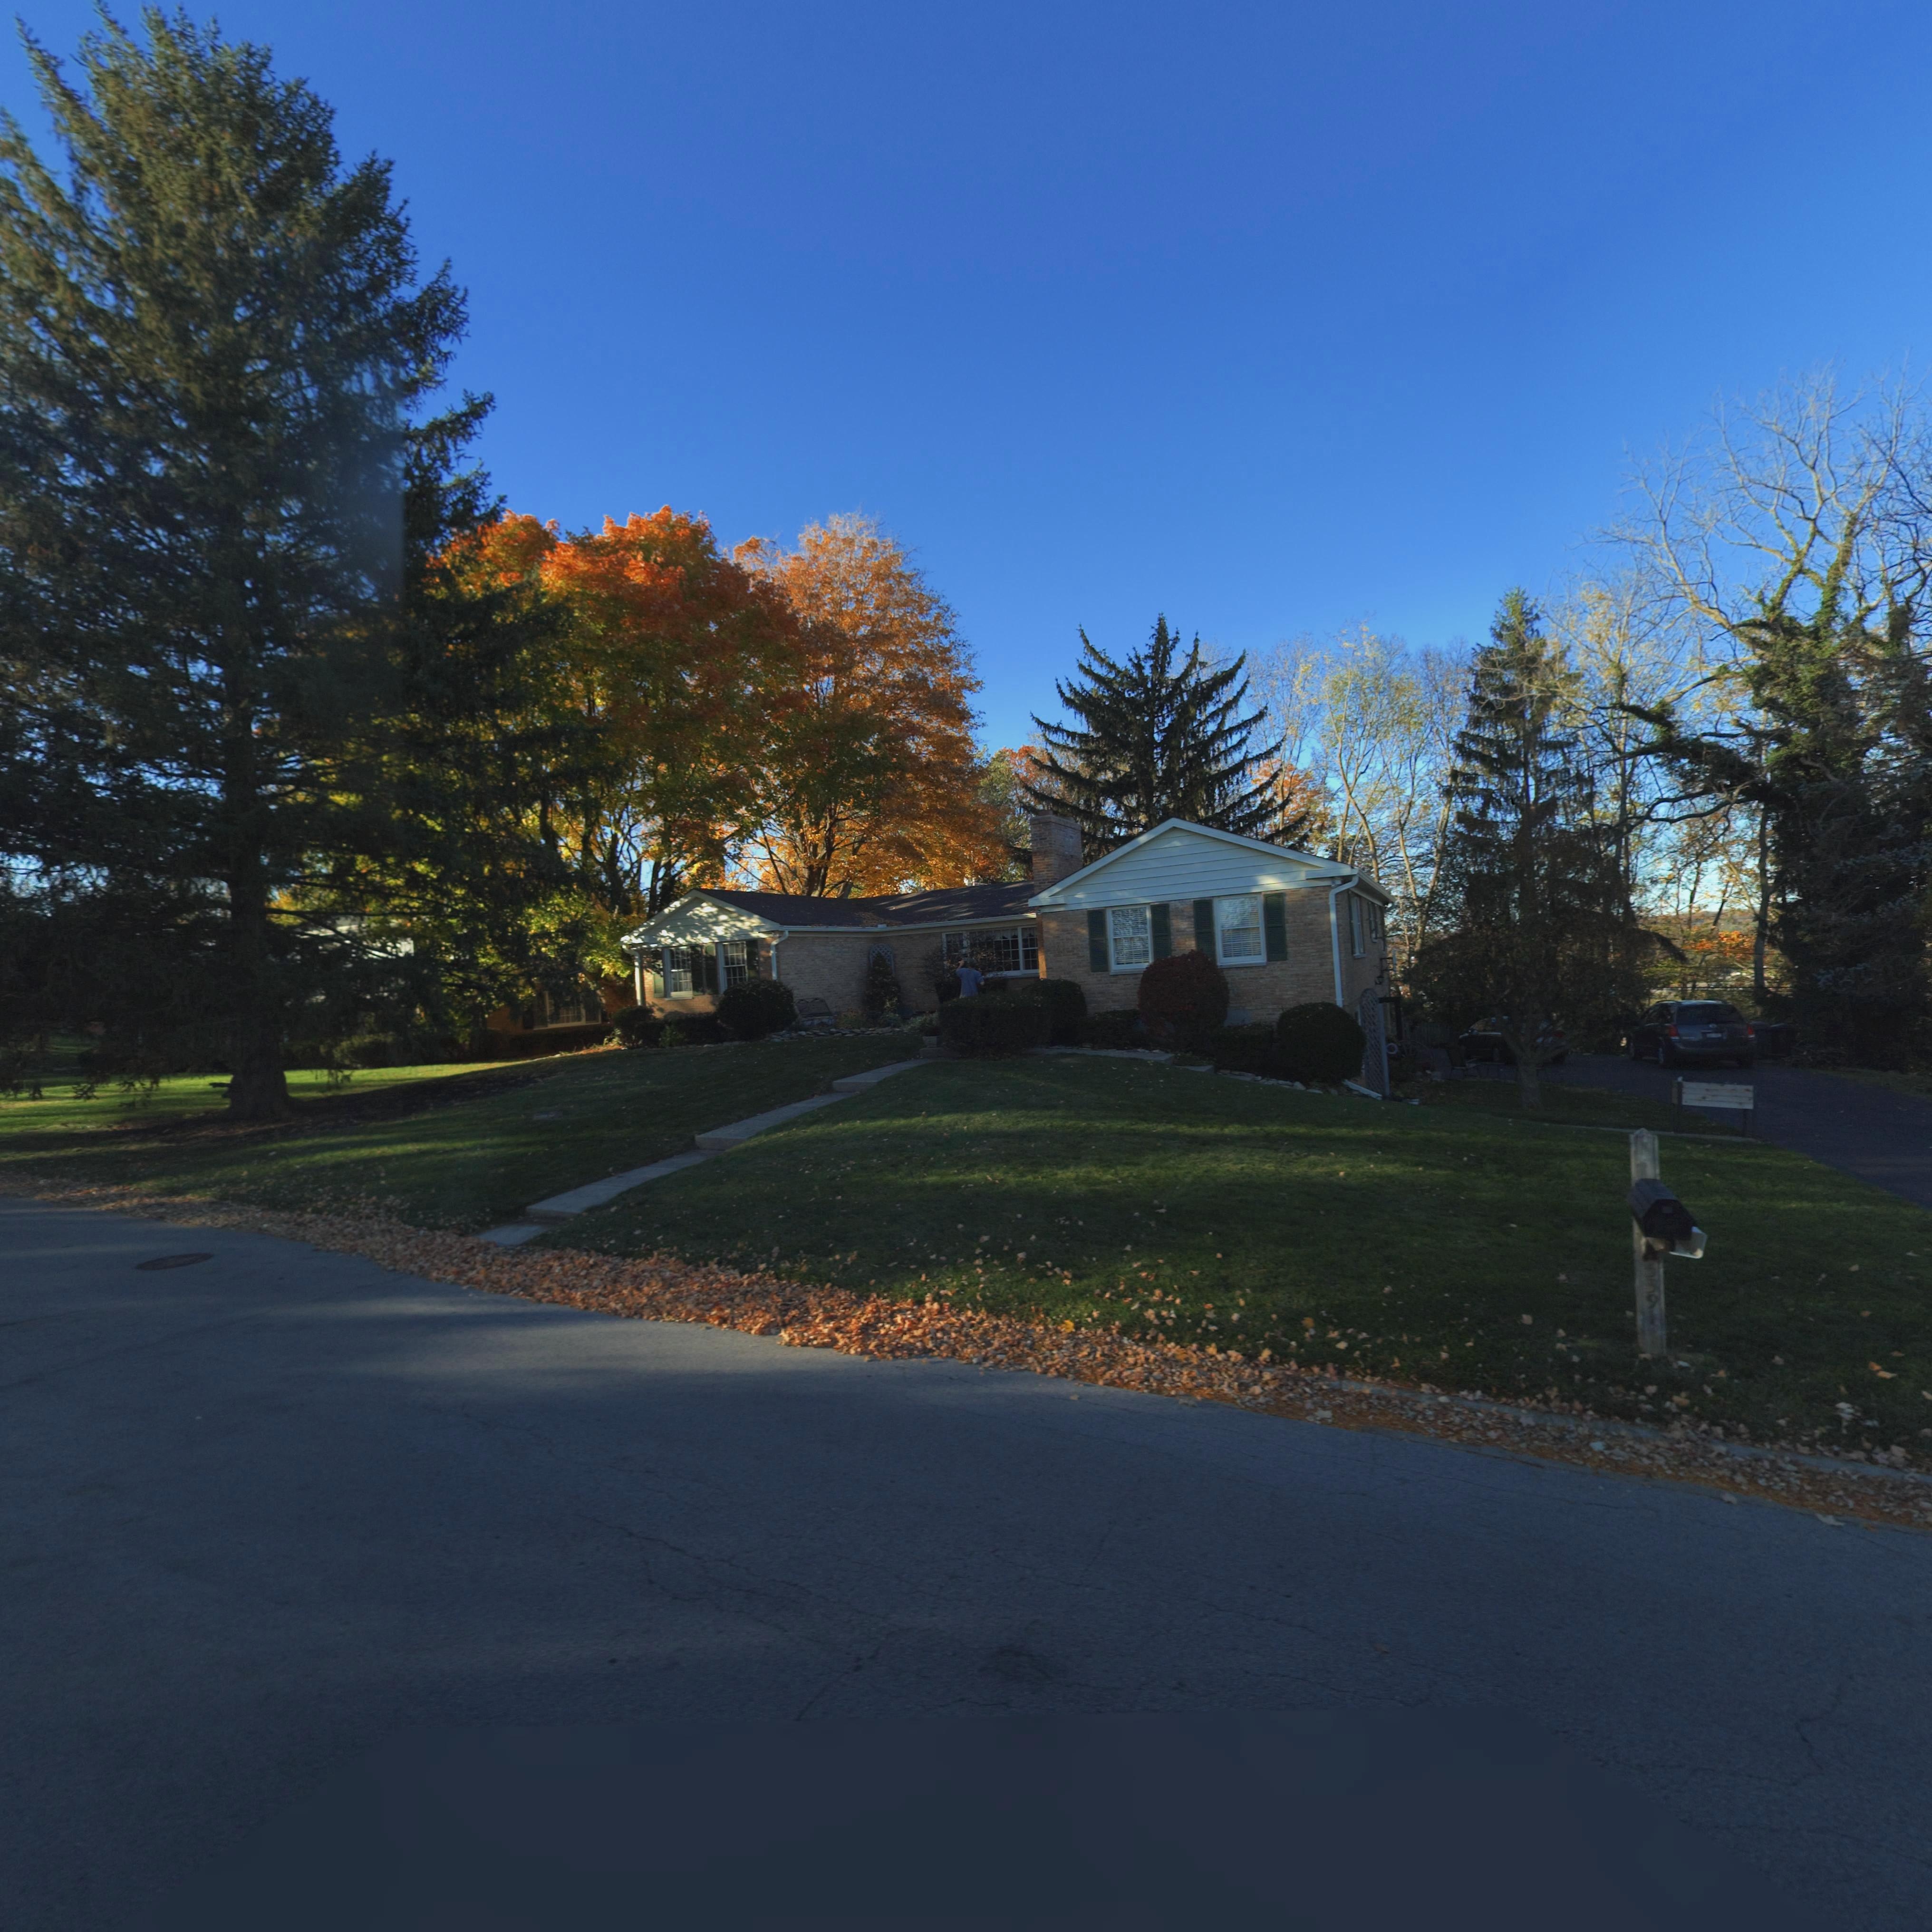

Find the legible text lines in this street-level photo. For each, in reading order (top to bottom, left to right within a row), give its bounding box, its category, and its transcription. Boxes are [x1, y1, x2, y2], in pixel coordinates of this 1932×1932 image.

[1643, 1260, 1663, 1327] StreetNumber: 5391